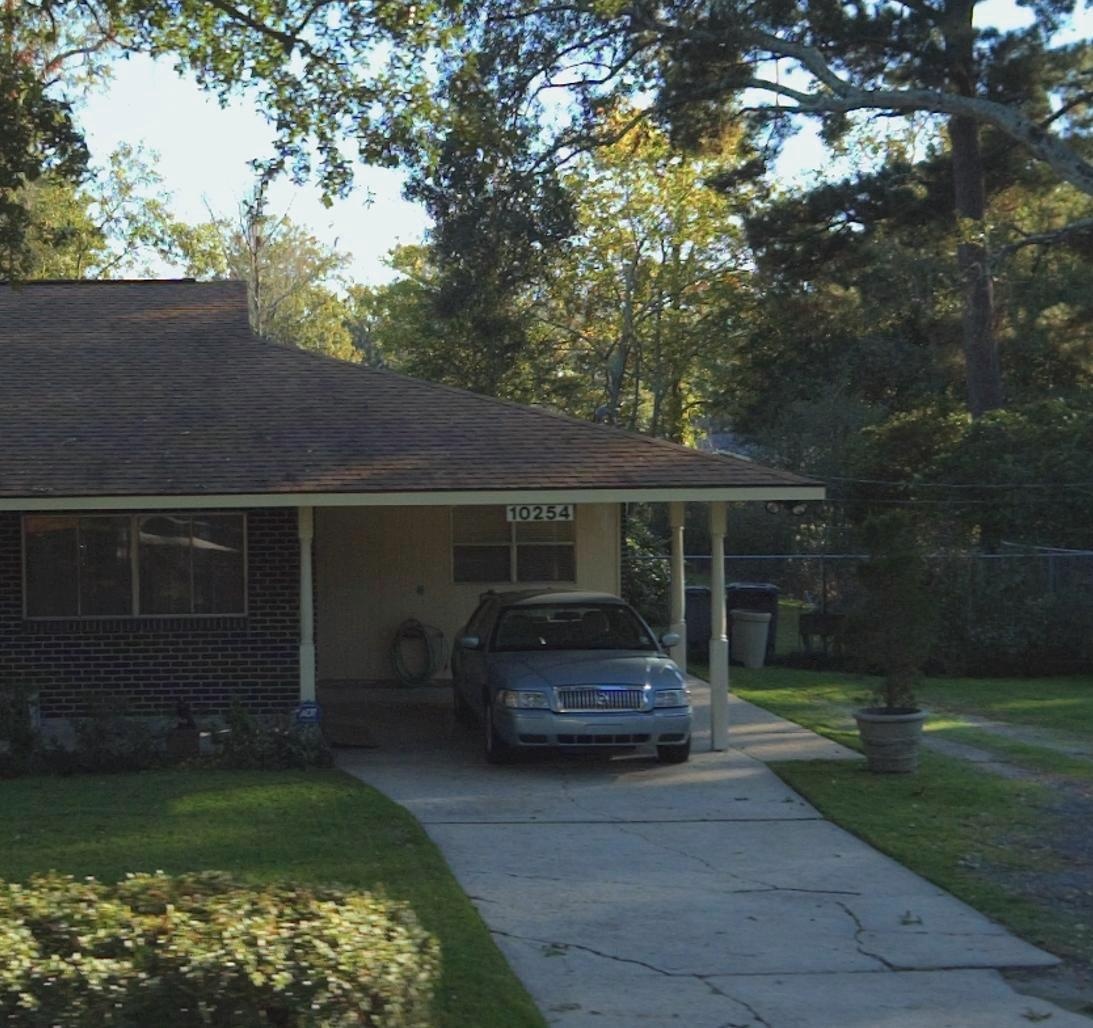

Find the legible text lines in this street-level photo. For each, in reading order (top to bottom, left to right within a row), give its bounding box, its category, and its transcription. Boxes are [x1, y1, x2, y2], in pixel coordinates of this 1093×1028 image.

[509, 505, 572, 521] StreetNumber: 10254
[297, 707, 319, 718] None: ADT